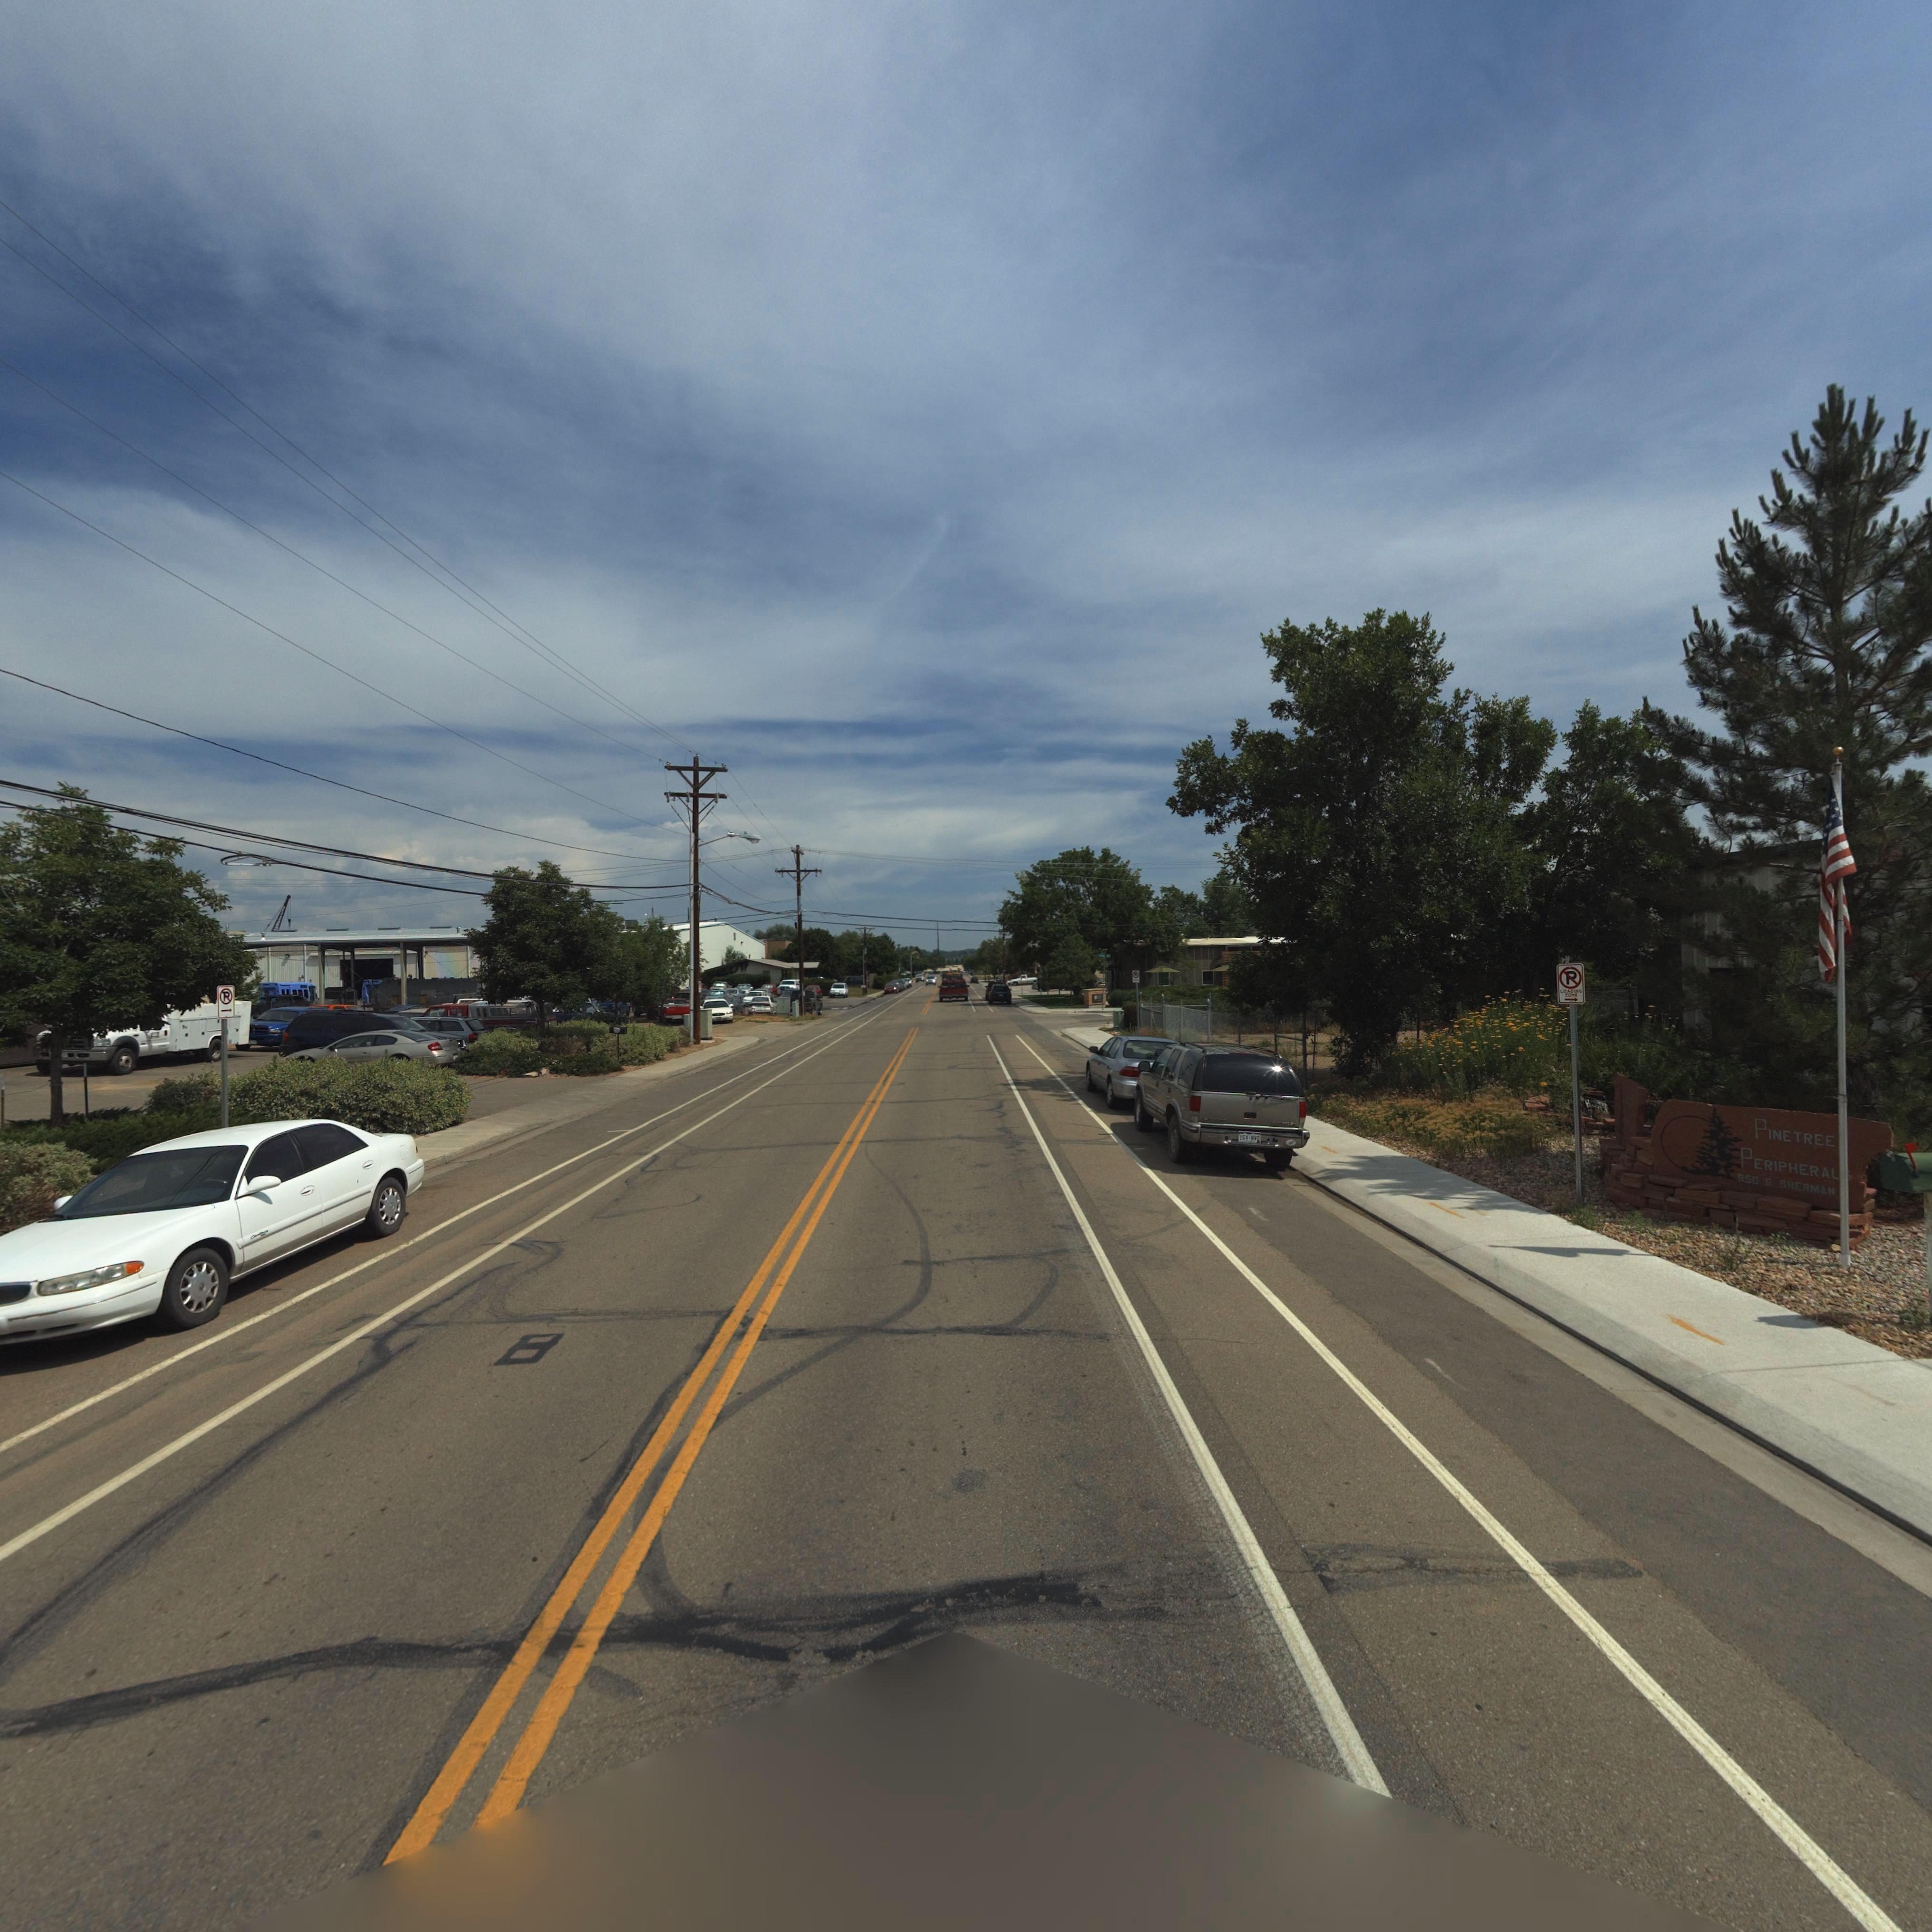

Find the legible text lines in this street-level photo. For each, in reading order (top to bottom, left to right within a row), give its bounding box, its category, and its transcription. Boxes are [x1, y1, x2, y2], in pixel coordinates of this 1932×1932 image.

[1753, 1117, 1835, 1148] BusinessName: PINETREE
[1739, 1145, 1854, 1182] BusinessName: PERIPHERAL*
[1736, 1173, 1759, 1186] StreetNumber: 950
[1763, 1177, 1836, 1197] StreetName: S. SHERMAN